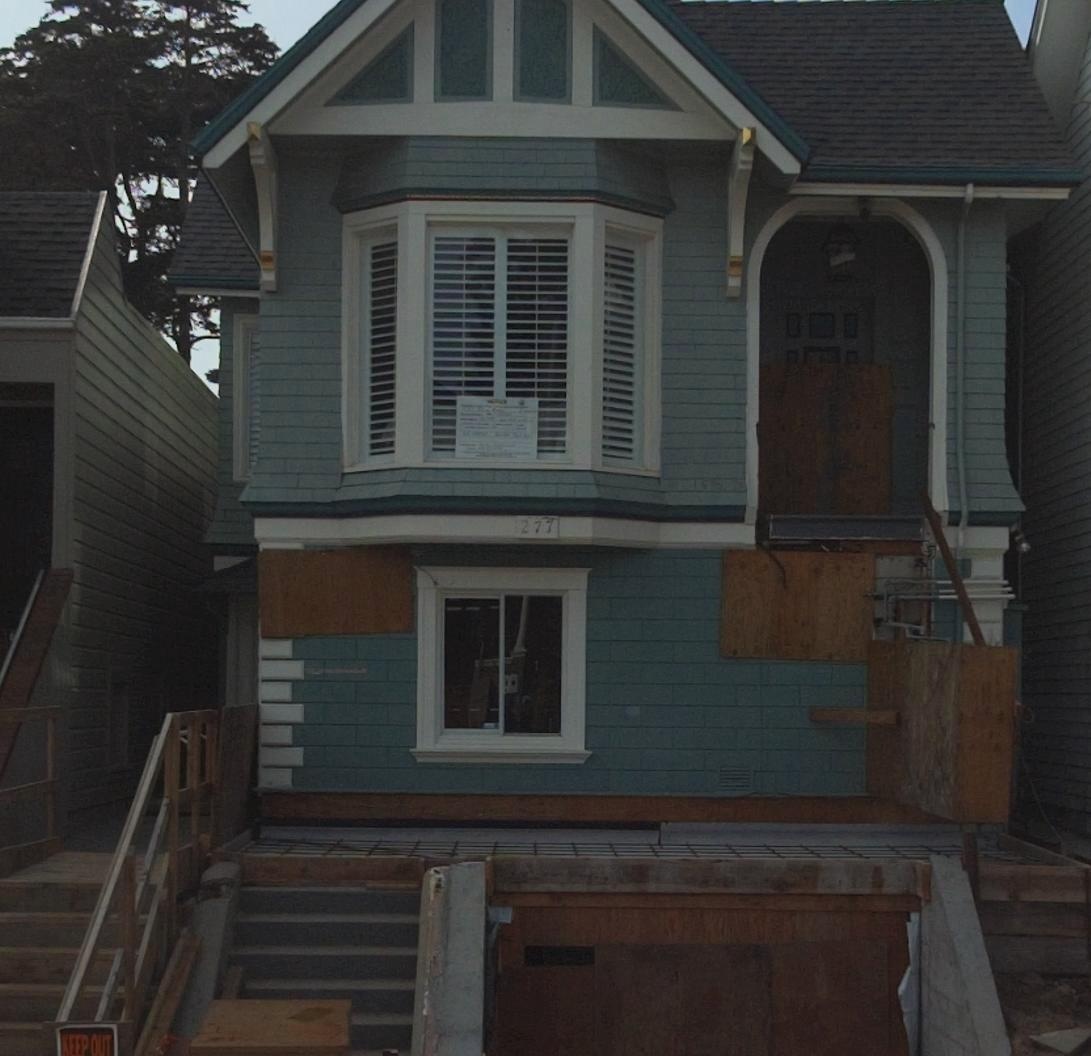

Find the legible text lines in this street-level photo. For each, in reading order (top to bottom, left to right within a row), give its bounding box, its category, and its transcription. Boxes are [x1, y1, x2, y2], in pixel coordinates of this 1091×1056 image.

[519, 518, 554, 535] StreetNumber: 277